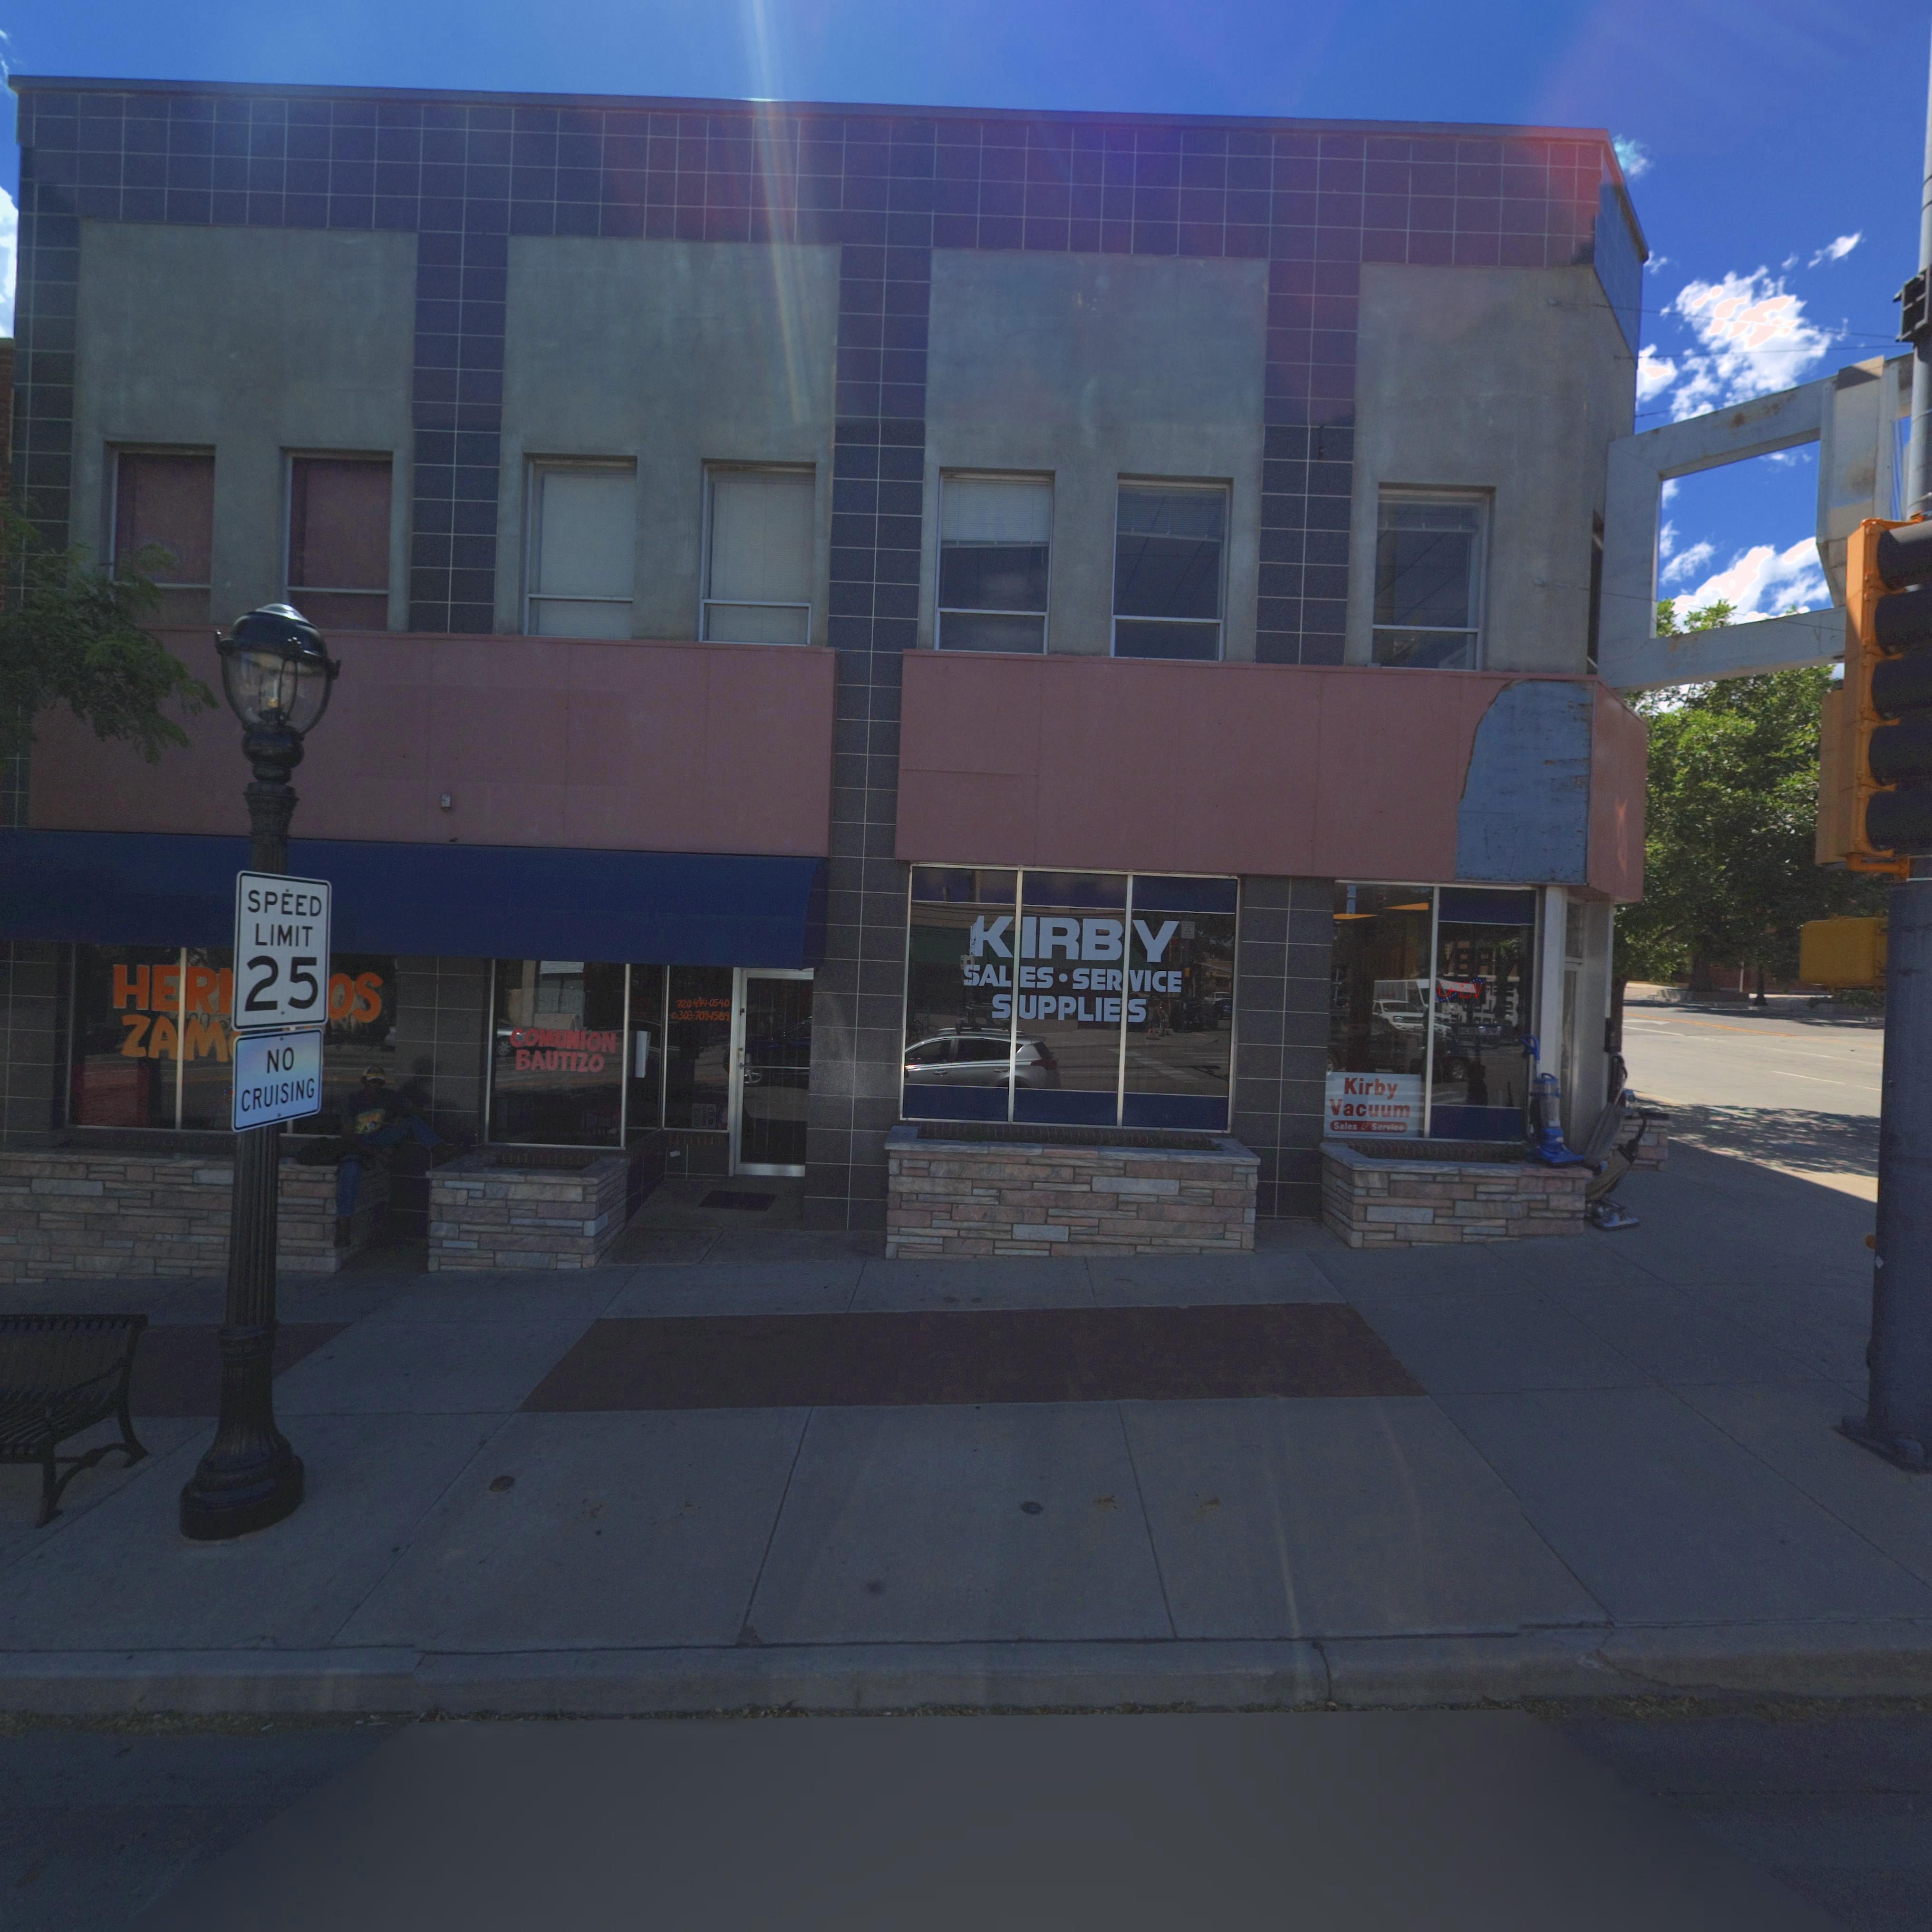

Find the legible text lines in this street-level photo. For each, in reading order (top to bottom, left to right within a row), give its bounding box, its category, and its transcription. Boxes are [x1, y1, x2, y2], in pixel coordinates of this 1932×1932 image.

[968, 914, 1180, 962] BusinessName: KIRBY
[1442, 944, 1522, 977] BusinessName: Y**I*
[112, 963, 385, 1024] BusinessName: HER***OS
[119, 1012, 230, 1064] BusinessName: ZAM
[1459, 1027, 1499, 1034] BusinessName: KIRBY
[1343, 1076, 1398, 1100] BusinessName: Kirby